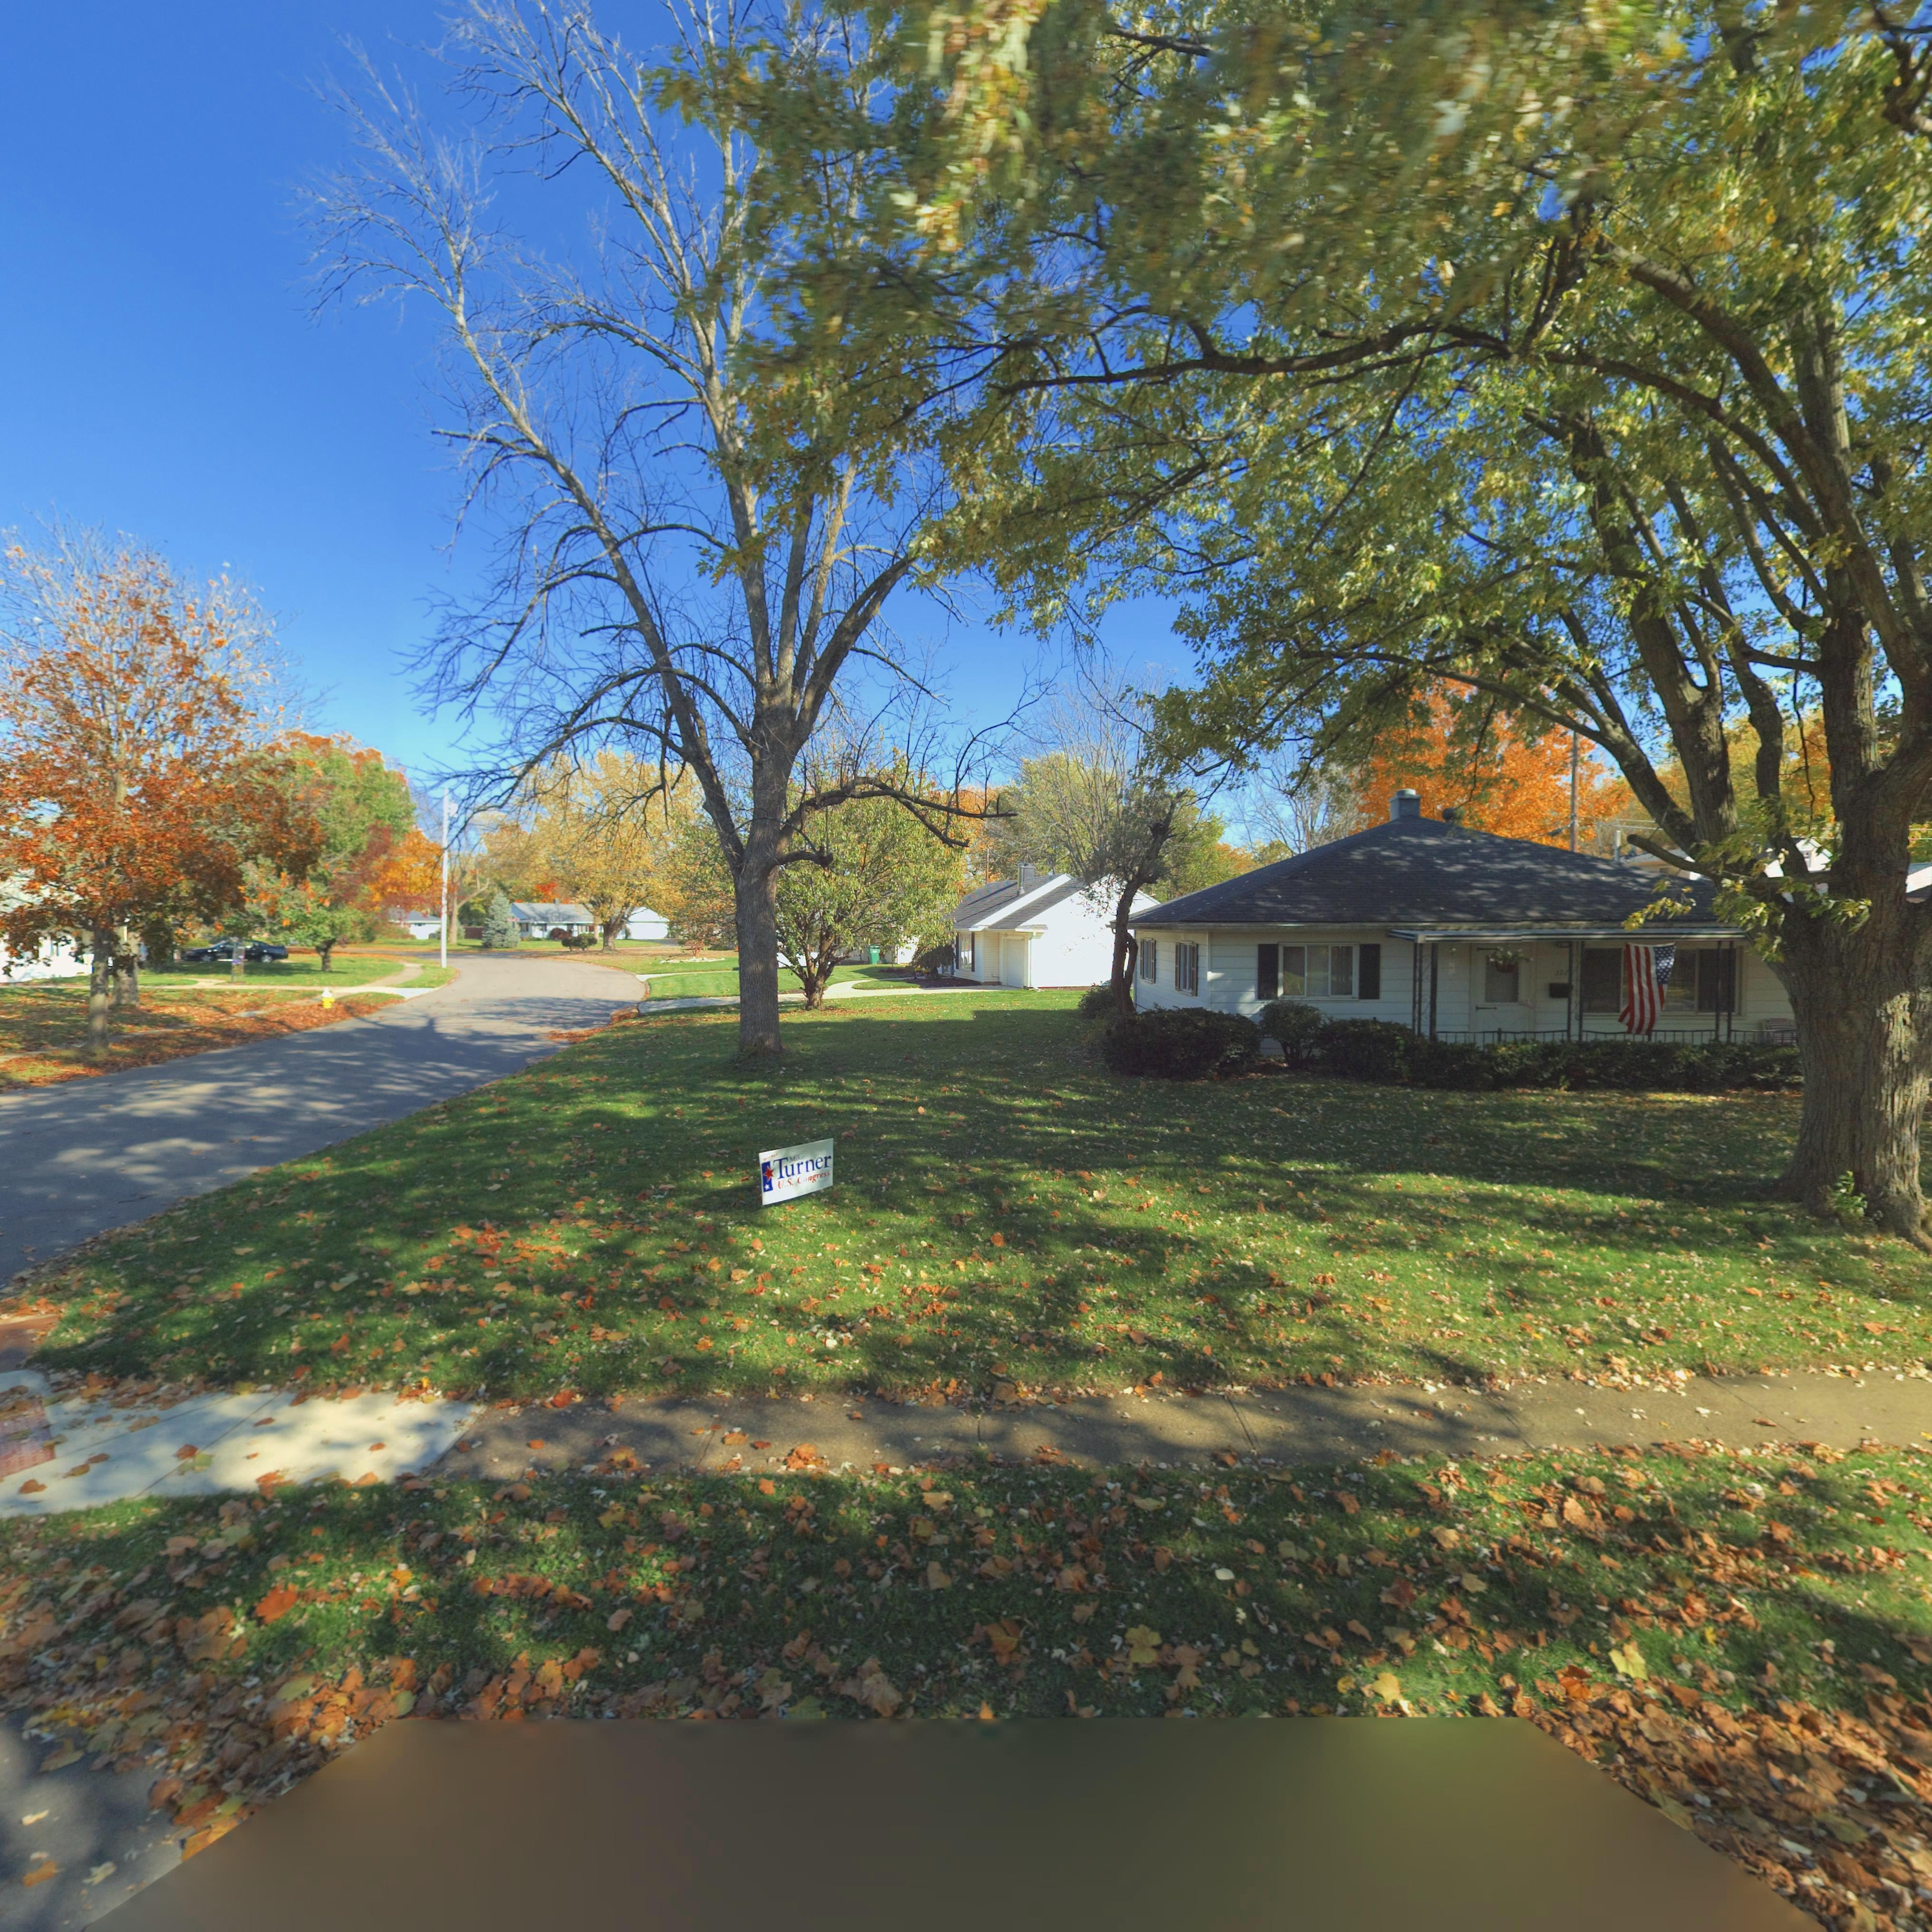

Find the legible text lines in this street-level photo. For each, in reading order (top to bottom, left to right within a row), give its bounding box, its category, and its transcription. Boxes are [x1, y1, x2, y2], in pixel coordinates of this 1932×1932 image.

[788, 1153, 806, 1163] None: Mike
[771, 1154, 833, 1181] None: Turner
[776, 1169, 832, 1191] None: U.S. Congress